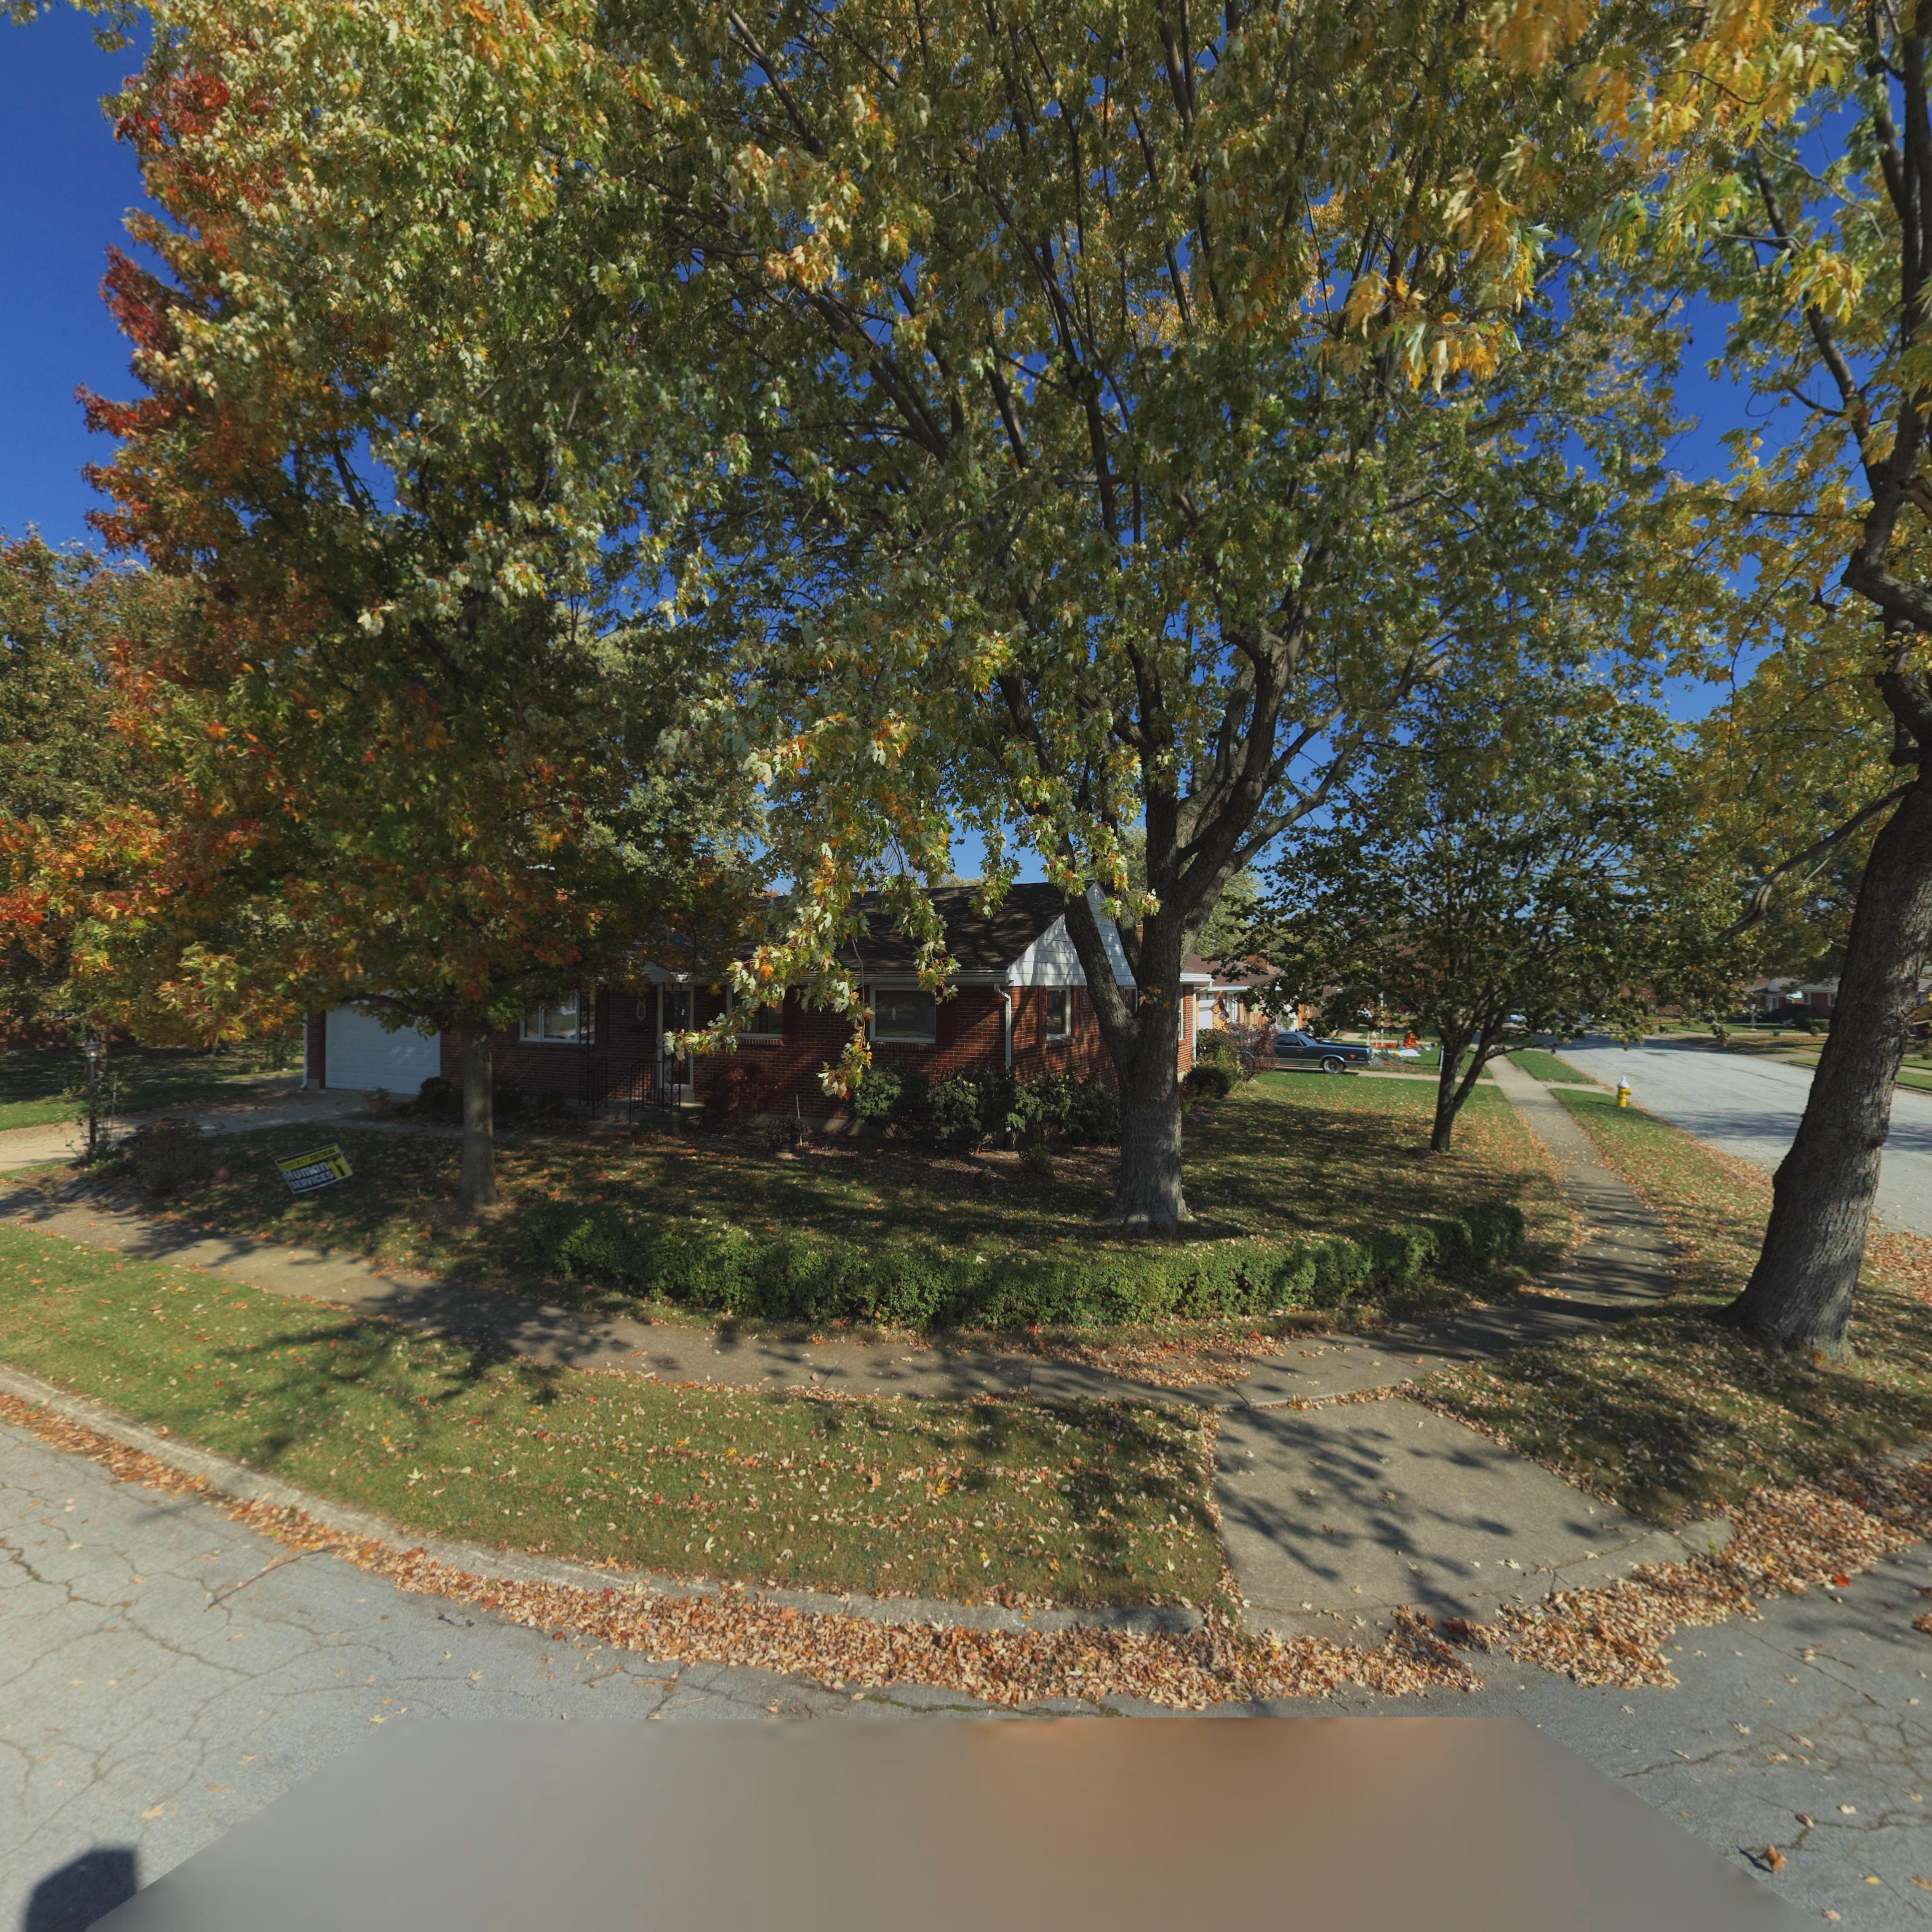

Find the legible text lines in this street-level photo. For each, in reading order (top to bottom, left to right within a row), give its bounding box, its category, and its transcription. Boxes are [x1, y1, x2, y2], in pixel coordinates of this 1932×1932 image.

[284, 1160, 331, 1182] None: Human
[280, 1147, 337, 1171] None: PROTECT CRITICAL
[289, 1170, 336, 1190] None: SERVICES
[326, 1156, 352, 1180] None: 11